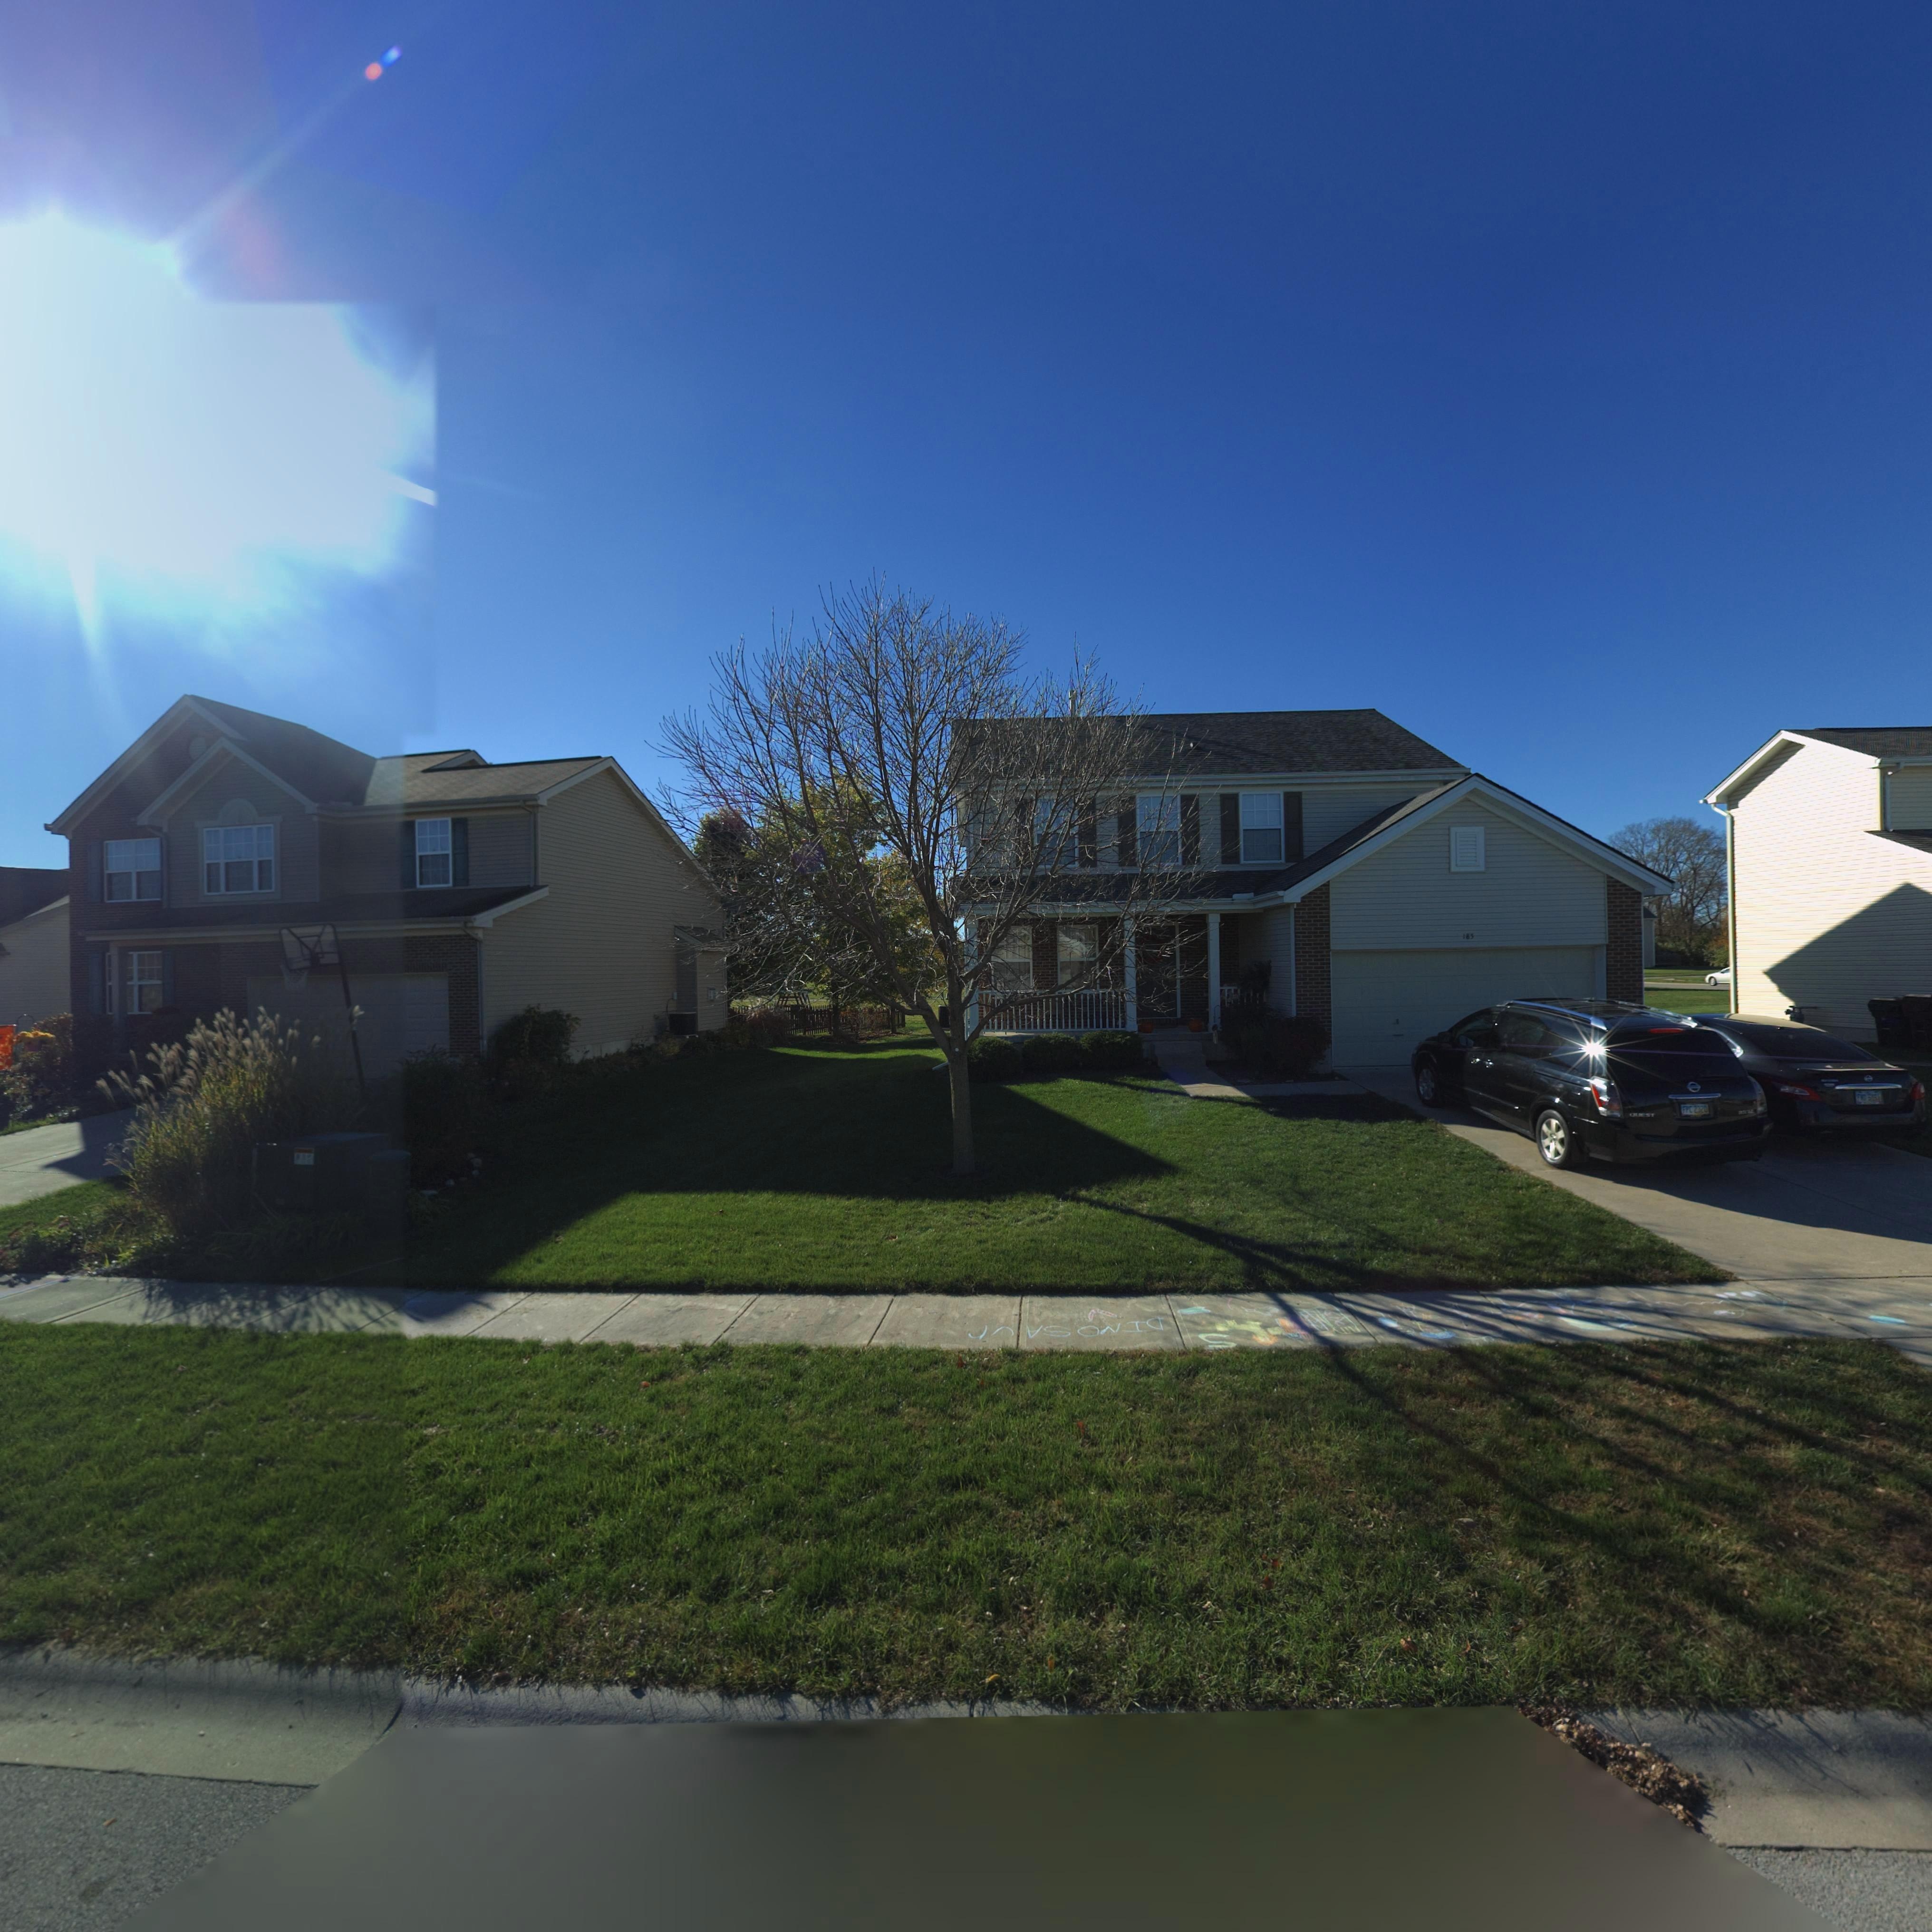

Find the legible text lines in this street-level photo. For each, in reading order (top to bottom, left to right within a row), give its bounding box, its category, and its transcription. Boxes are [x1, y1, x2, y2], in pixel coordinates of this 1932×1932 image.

[1462, 933, 1474, 939] StreetNumber: 185